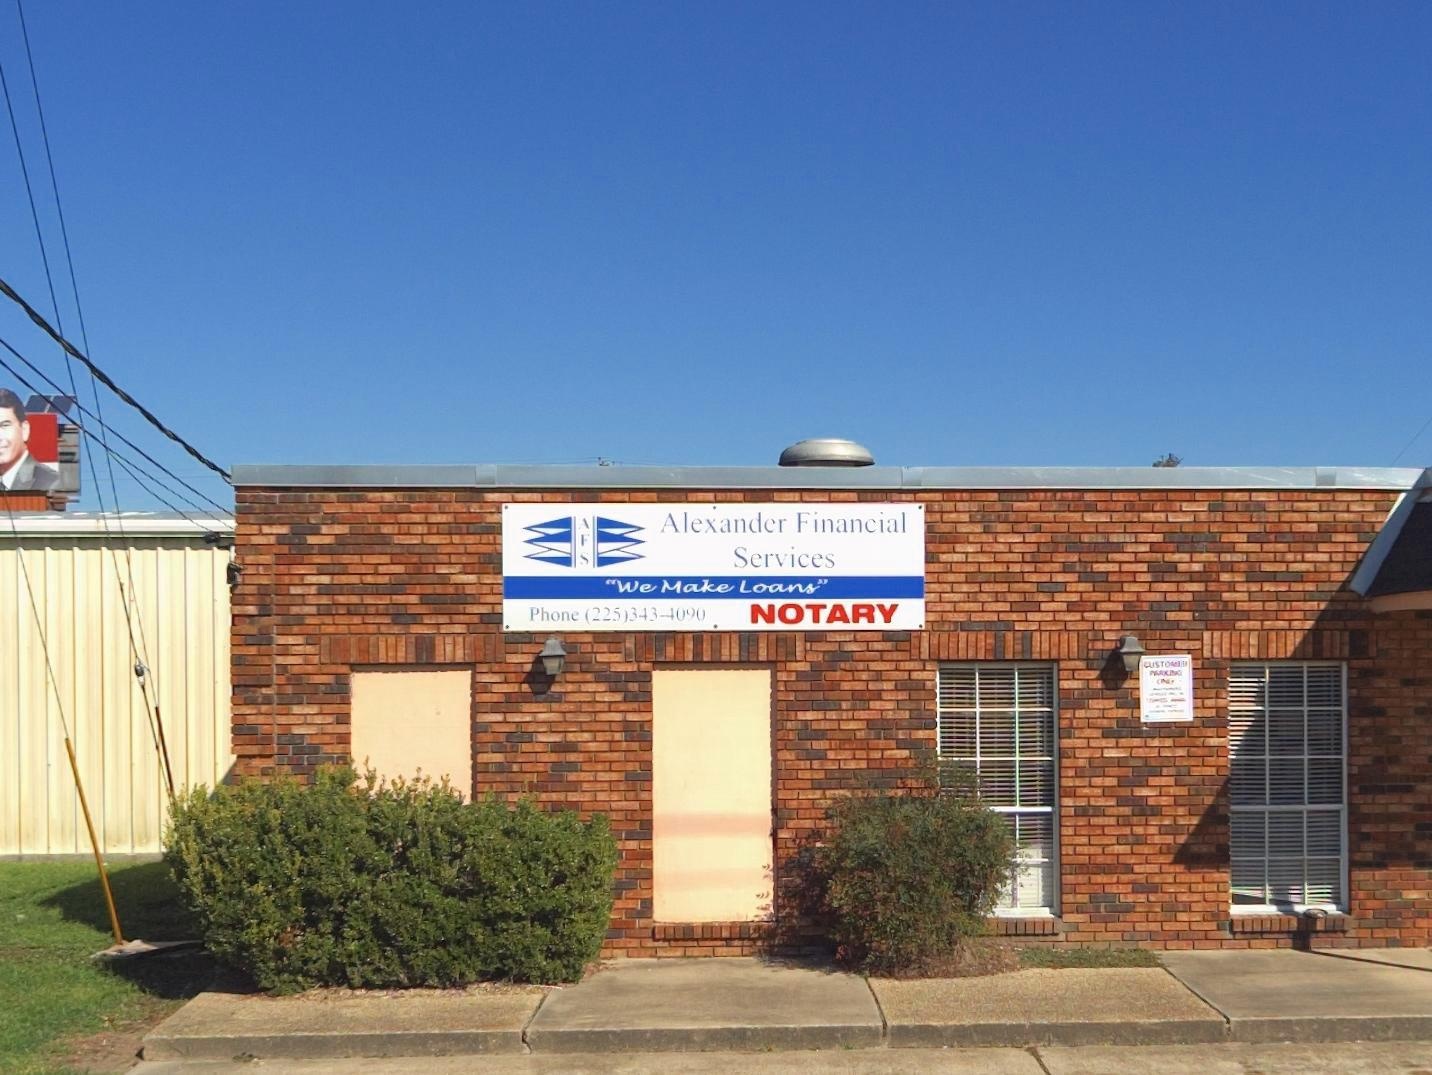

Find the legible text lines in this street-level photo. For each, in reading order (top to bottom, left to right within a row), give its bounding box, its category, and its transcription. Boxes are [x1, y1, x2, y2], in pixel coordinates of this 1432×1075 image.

[658, 510, 907, 534] BusinessName: Alexander Financial
[577, 516, 591, 566] None: AFS
[733, 541, 836, 569] BusinessName: Services
[604, 577, 830, 596] None: "We Make Loans"
[528, 605, 707, 626] None: Phone (225)343-4090
[751, 603, 901, 625] None: NOTARY